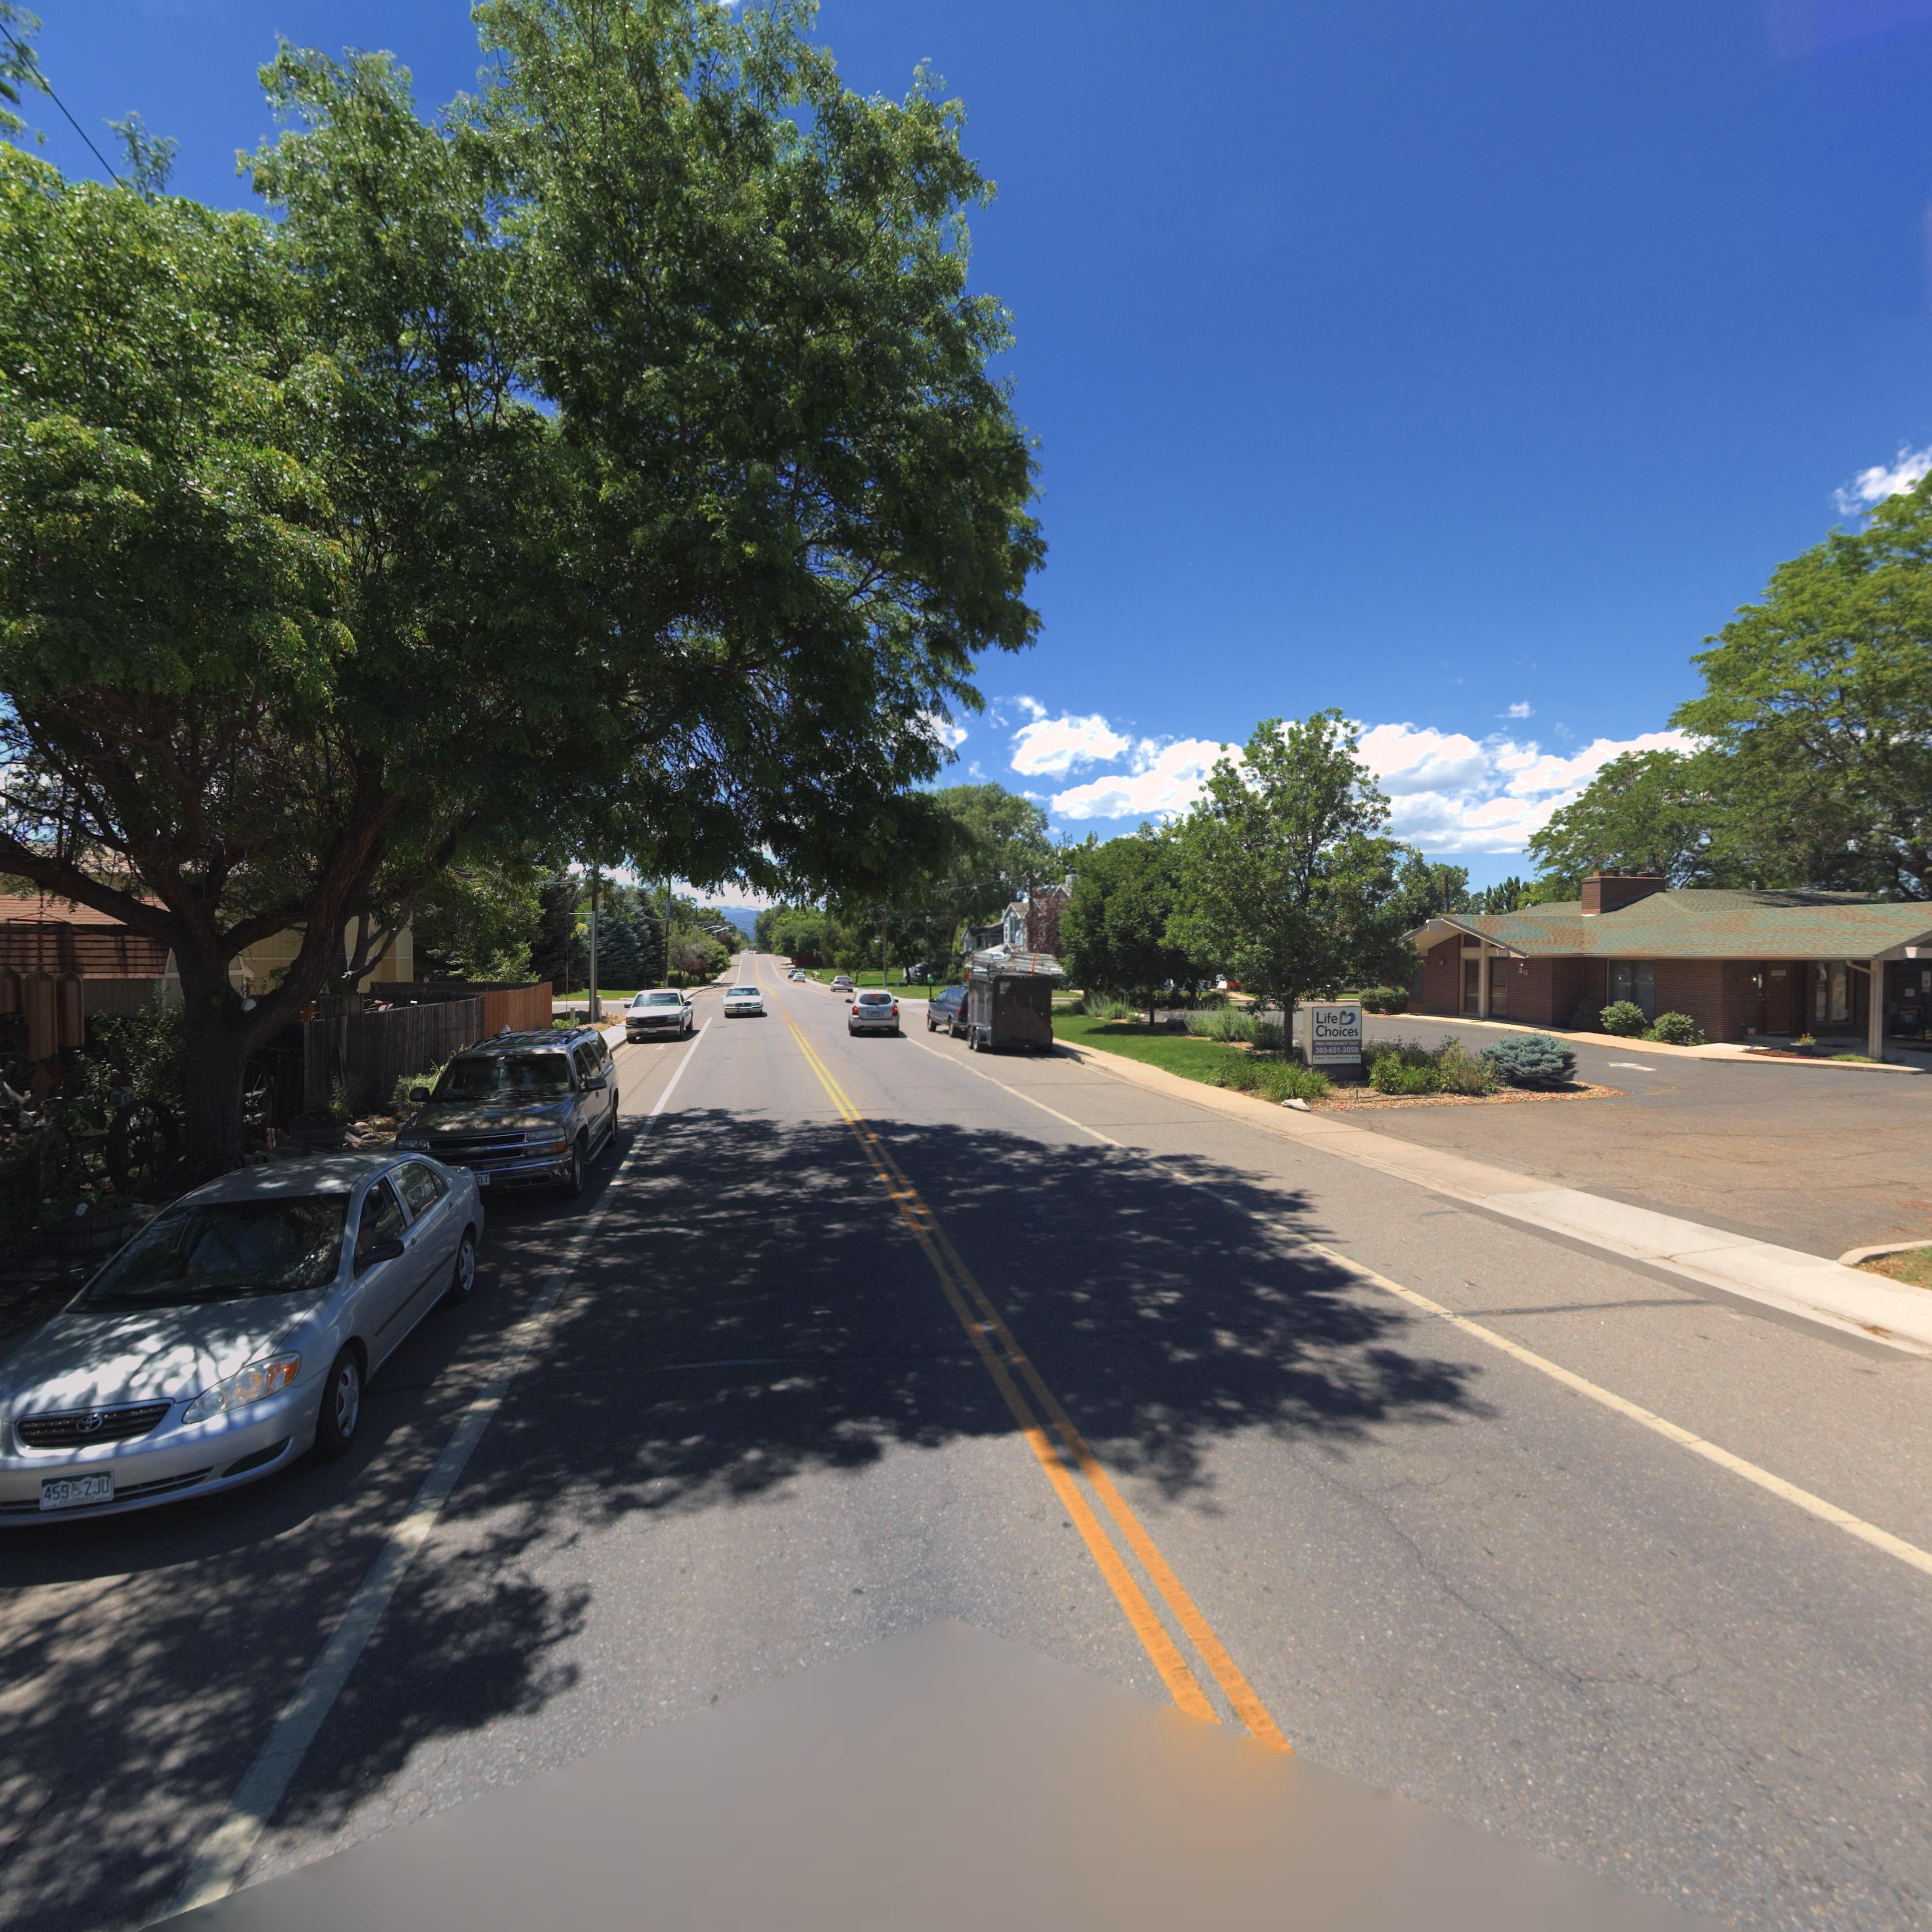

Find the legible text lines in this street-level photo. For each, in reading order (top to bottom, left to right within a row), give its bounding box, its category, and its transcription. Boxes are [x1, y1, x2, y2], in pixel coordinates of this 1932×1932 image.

[1518, 967, 1528, 976] StreetNumber: 20
[1316, 1011, 1338, 1024] BusinessName: Life
[1314, 1024, 1359, 1037] BusinessName: Choices